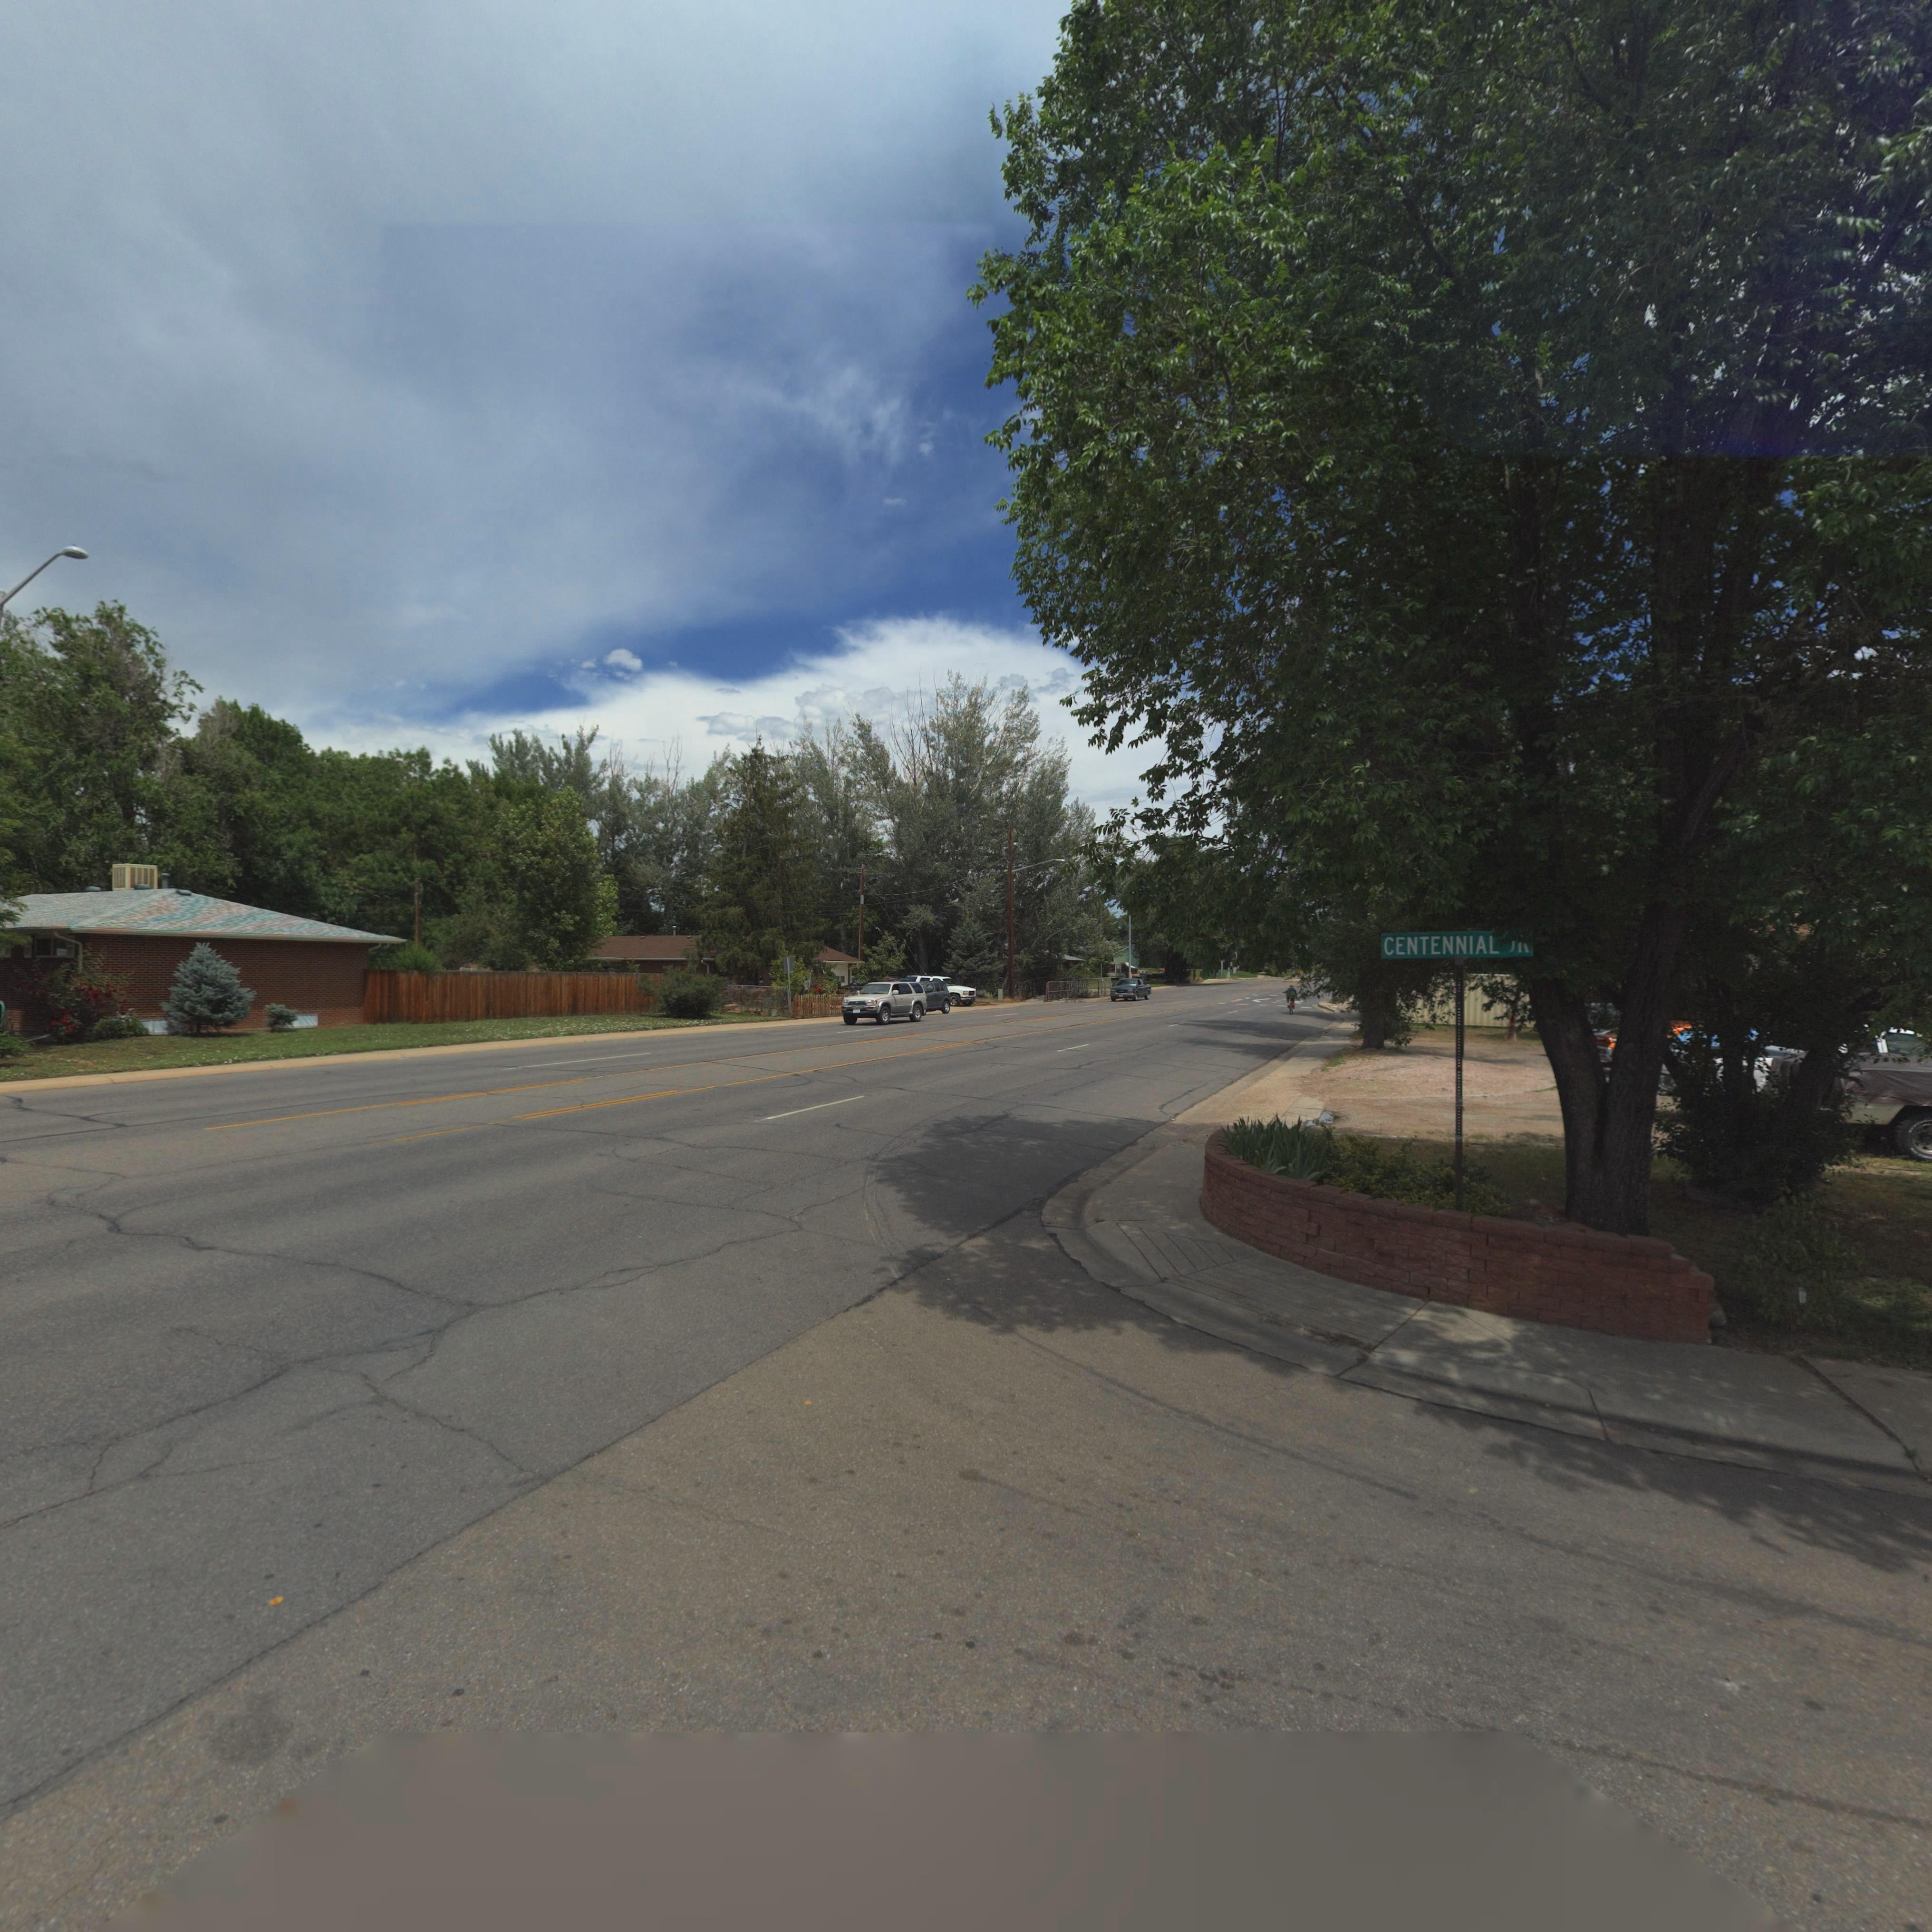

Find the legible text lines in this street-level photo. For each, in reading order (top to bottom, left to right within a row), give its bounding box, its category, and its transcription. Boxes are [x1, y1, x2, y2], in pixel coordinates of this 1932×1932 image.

[1384, 935, 1499, 955] StreetName: CENTENNIAL